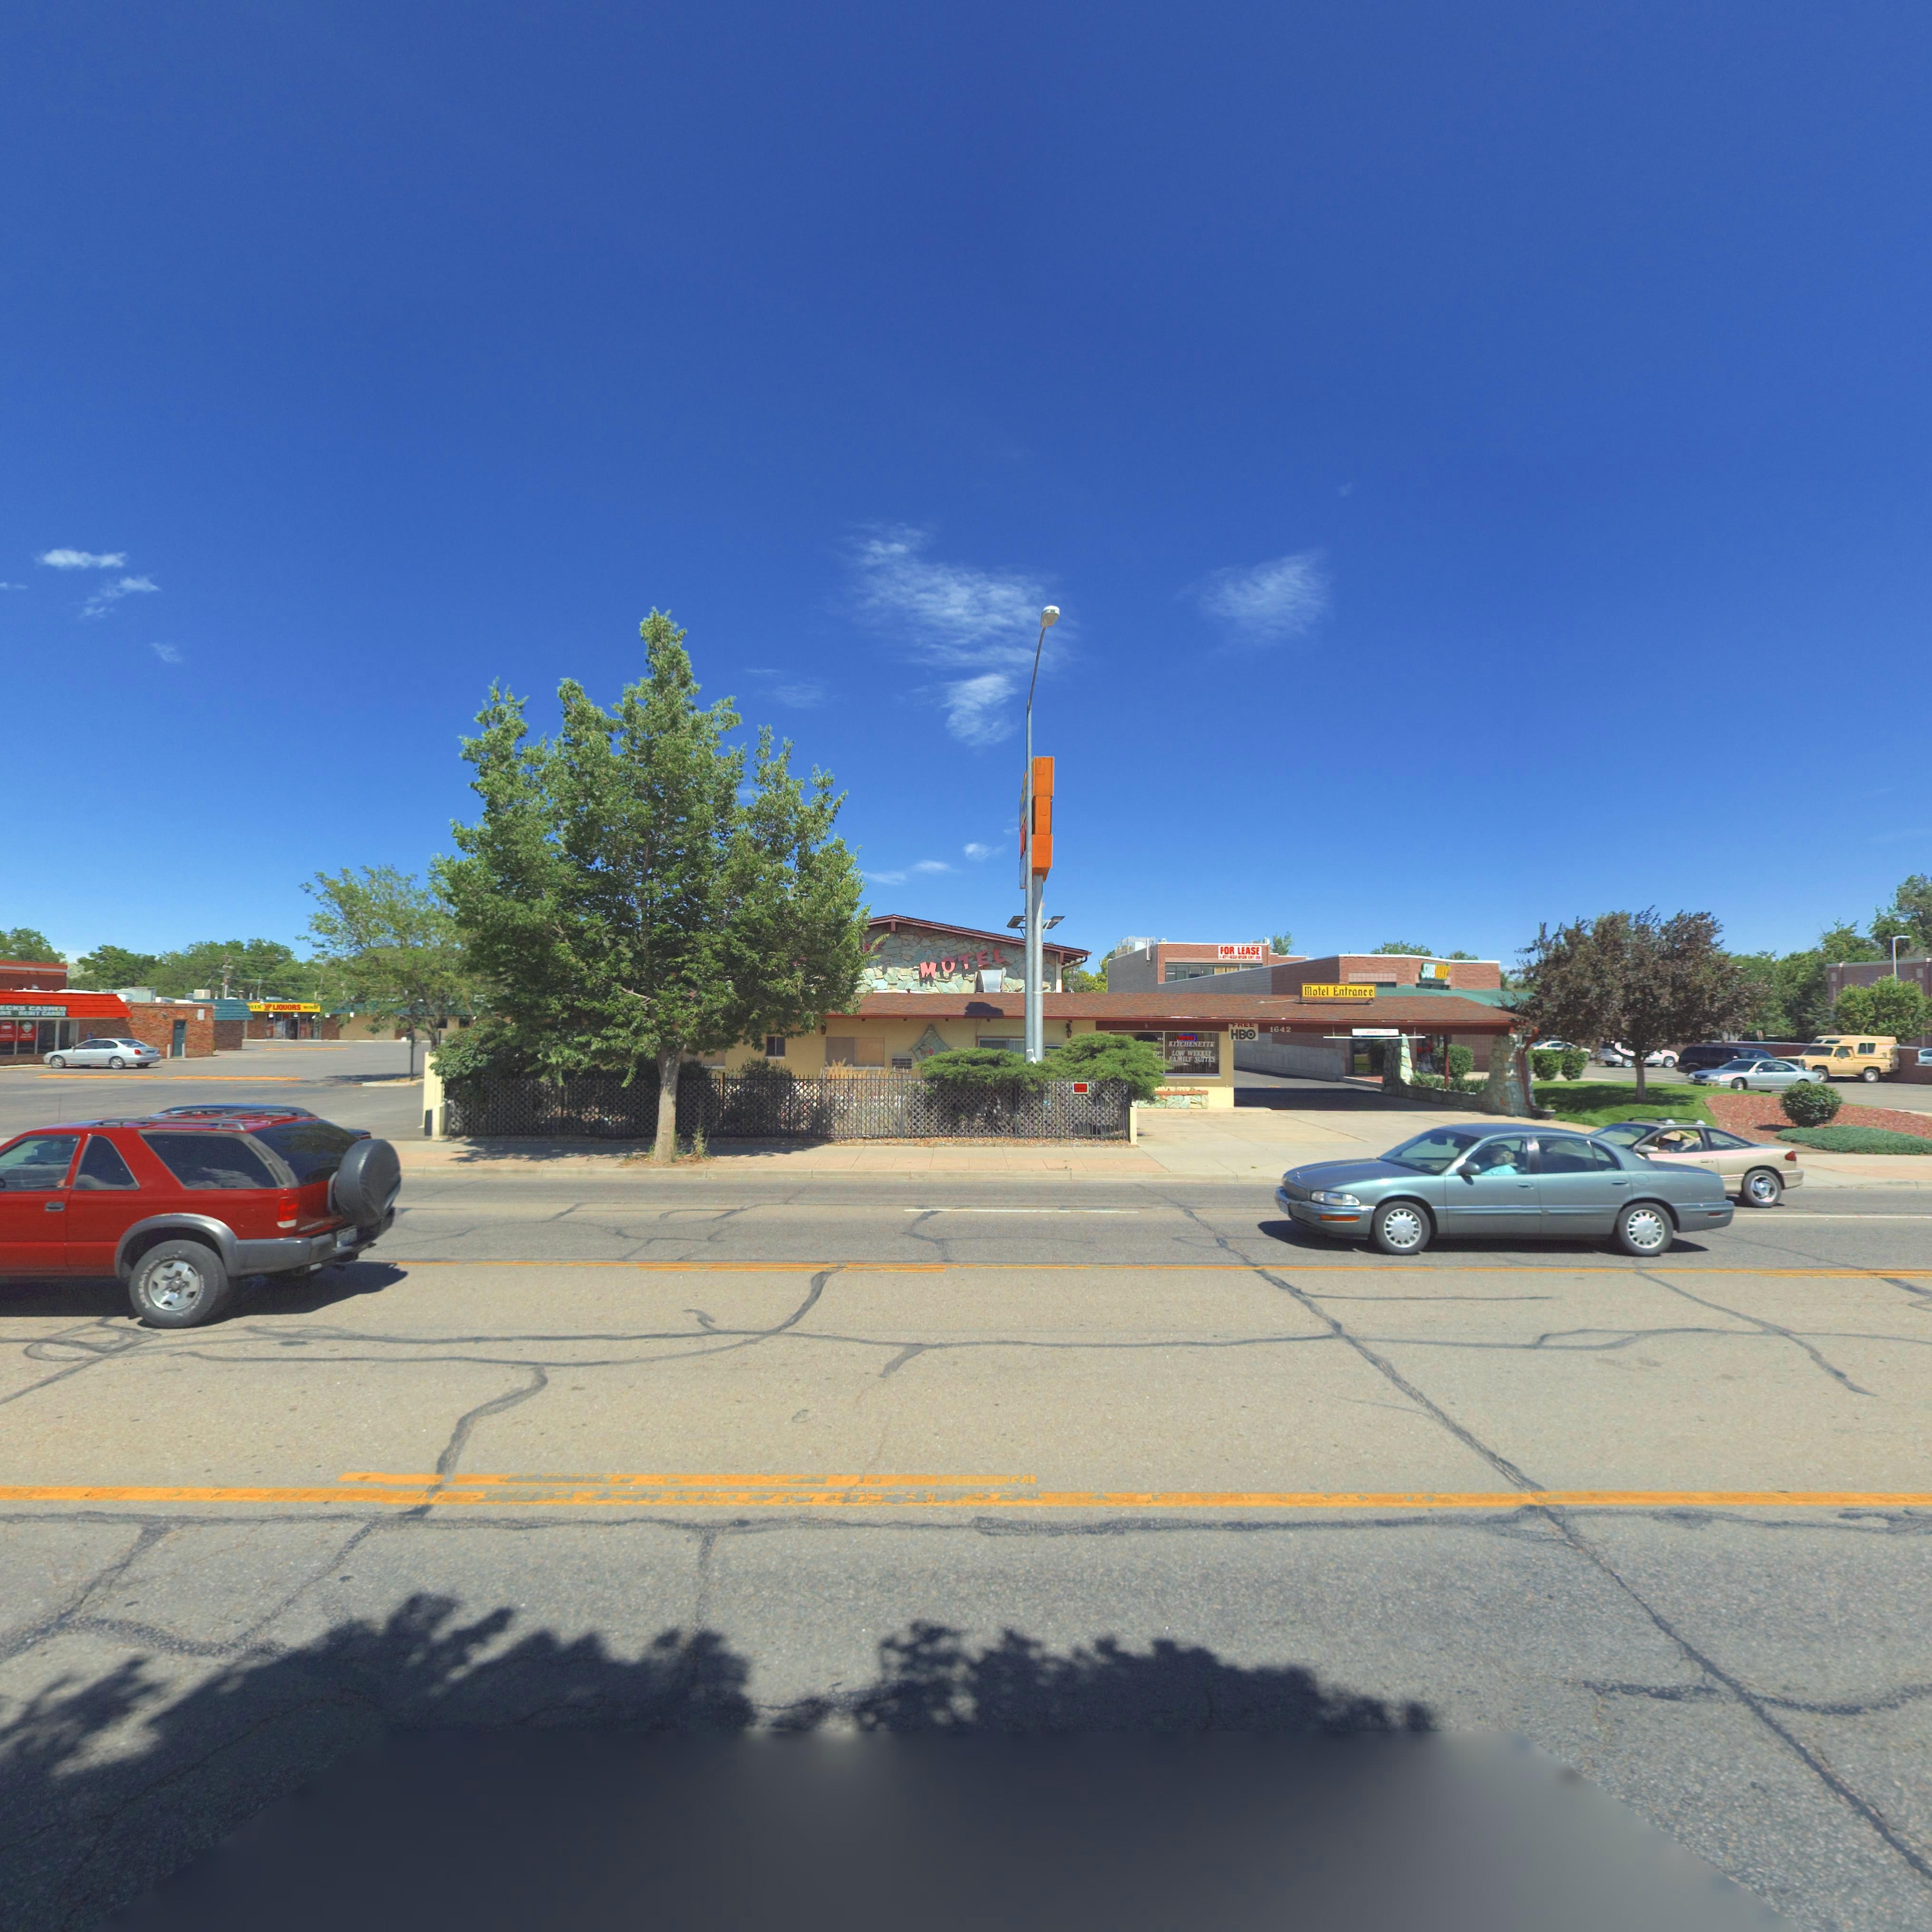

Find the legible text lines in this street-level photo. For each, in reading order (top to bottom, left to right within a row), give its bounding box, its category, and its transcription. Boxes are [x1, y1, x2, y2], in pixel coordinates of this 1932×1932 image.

[918, 947, 1007, 980] BusinessName: MOTEL
[1419, 963, 1451, 980] BusinessName: SUBWAY
[0, 1005, 66, 1011] BusinessName: *ECKS CASHED
[263, 1004, 300, 1010] BusinessName: 7 LIQUORS
[1269, 1026, 1291, 1033] StreetNumber: 1642